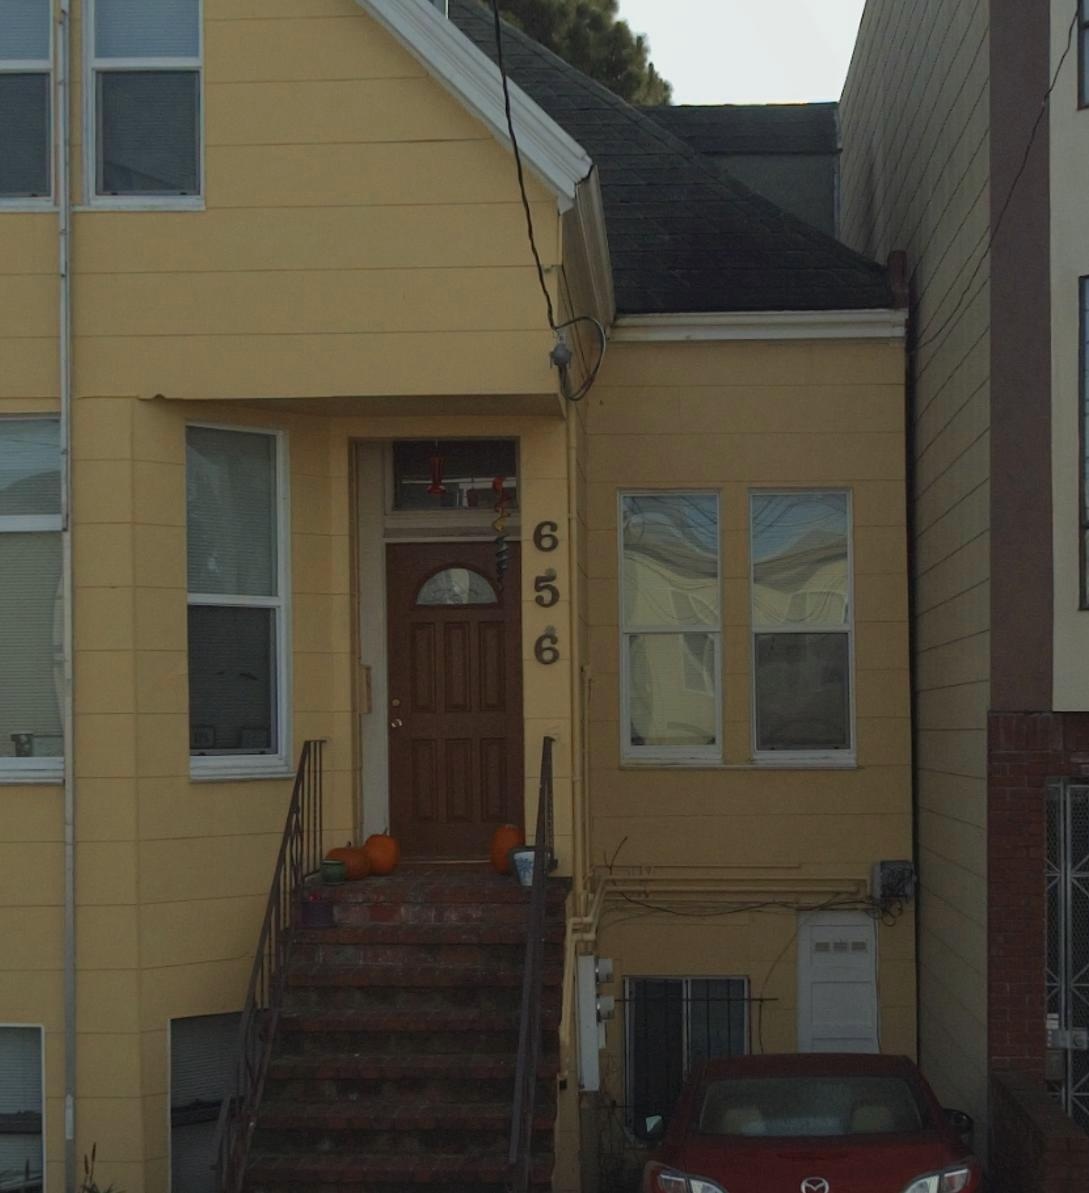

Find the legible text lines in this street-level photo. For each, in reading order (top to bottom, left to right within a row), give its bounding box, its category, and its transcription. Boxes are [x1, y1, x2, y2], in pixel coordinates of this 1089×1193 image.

[531, 518, 563, 669] StreetNumber: 656